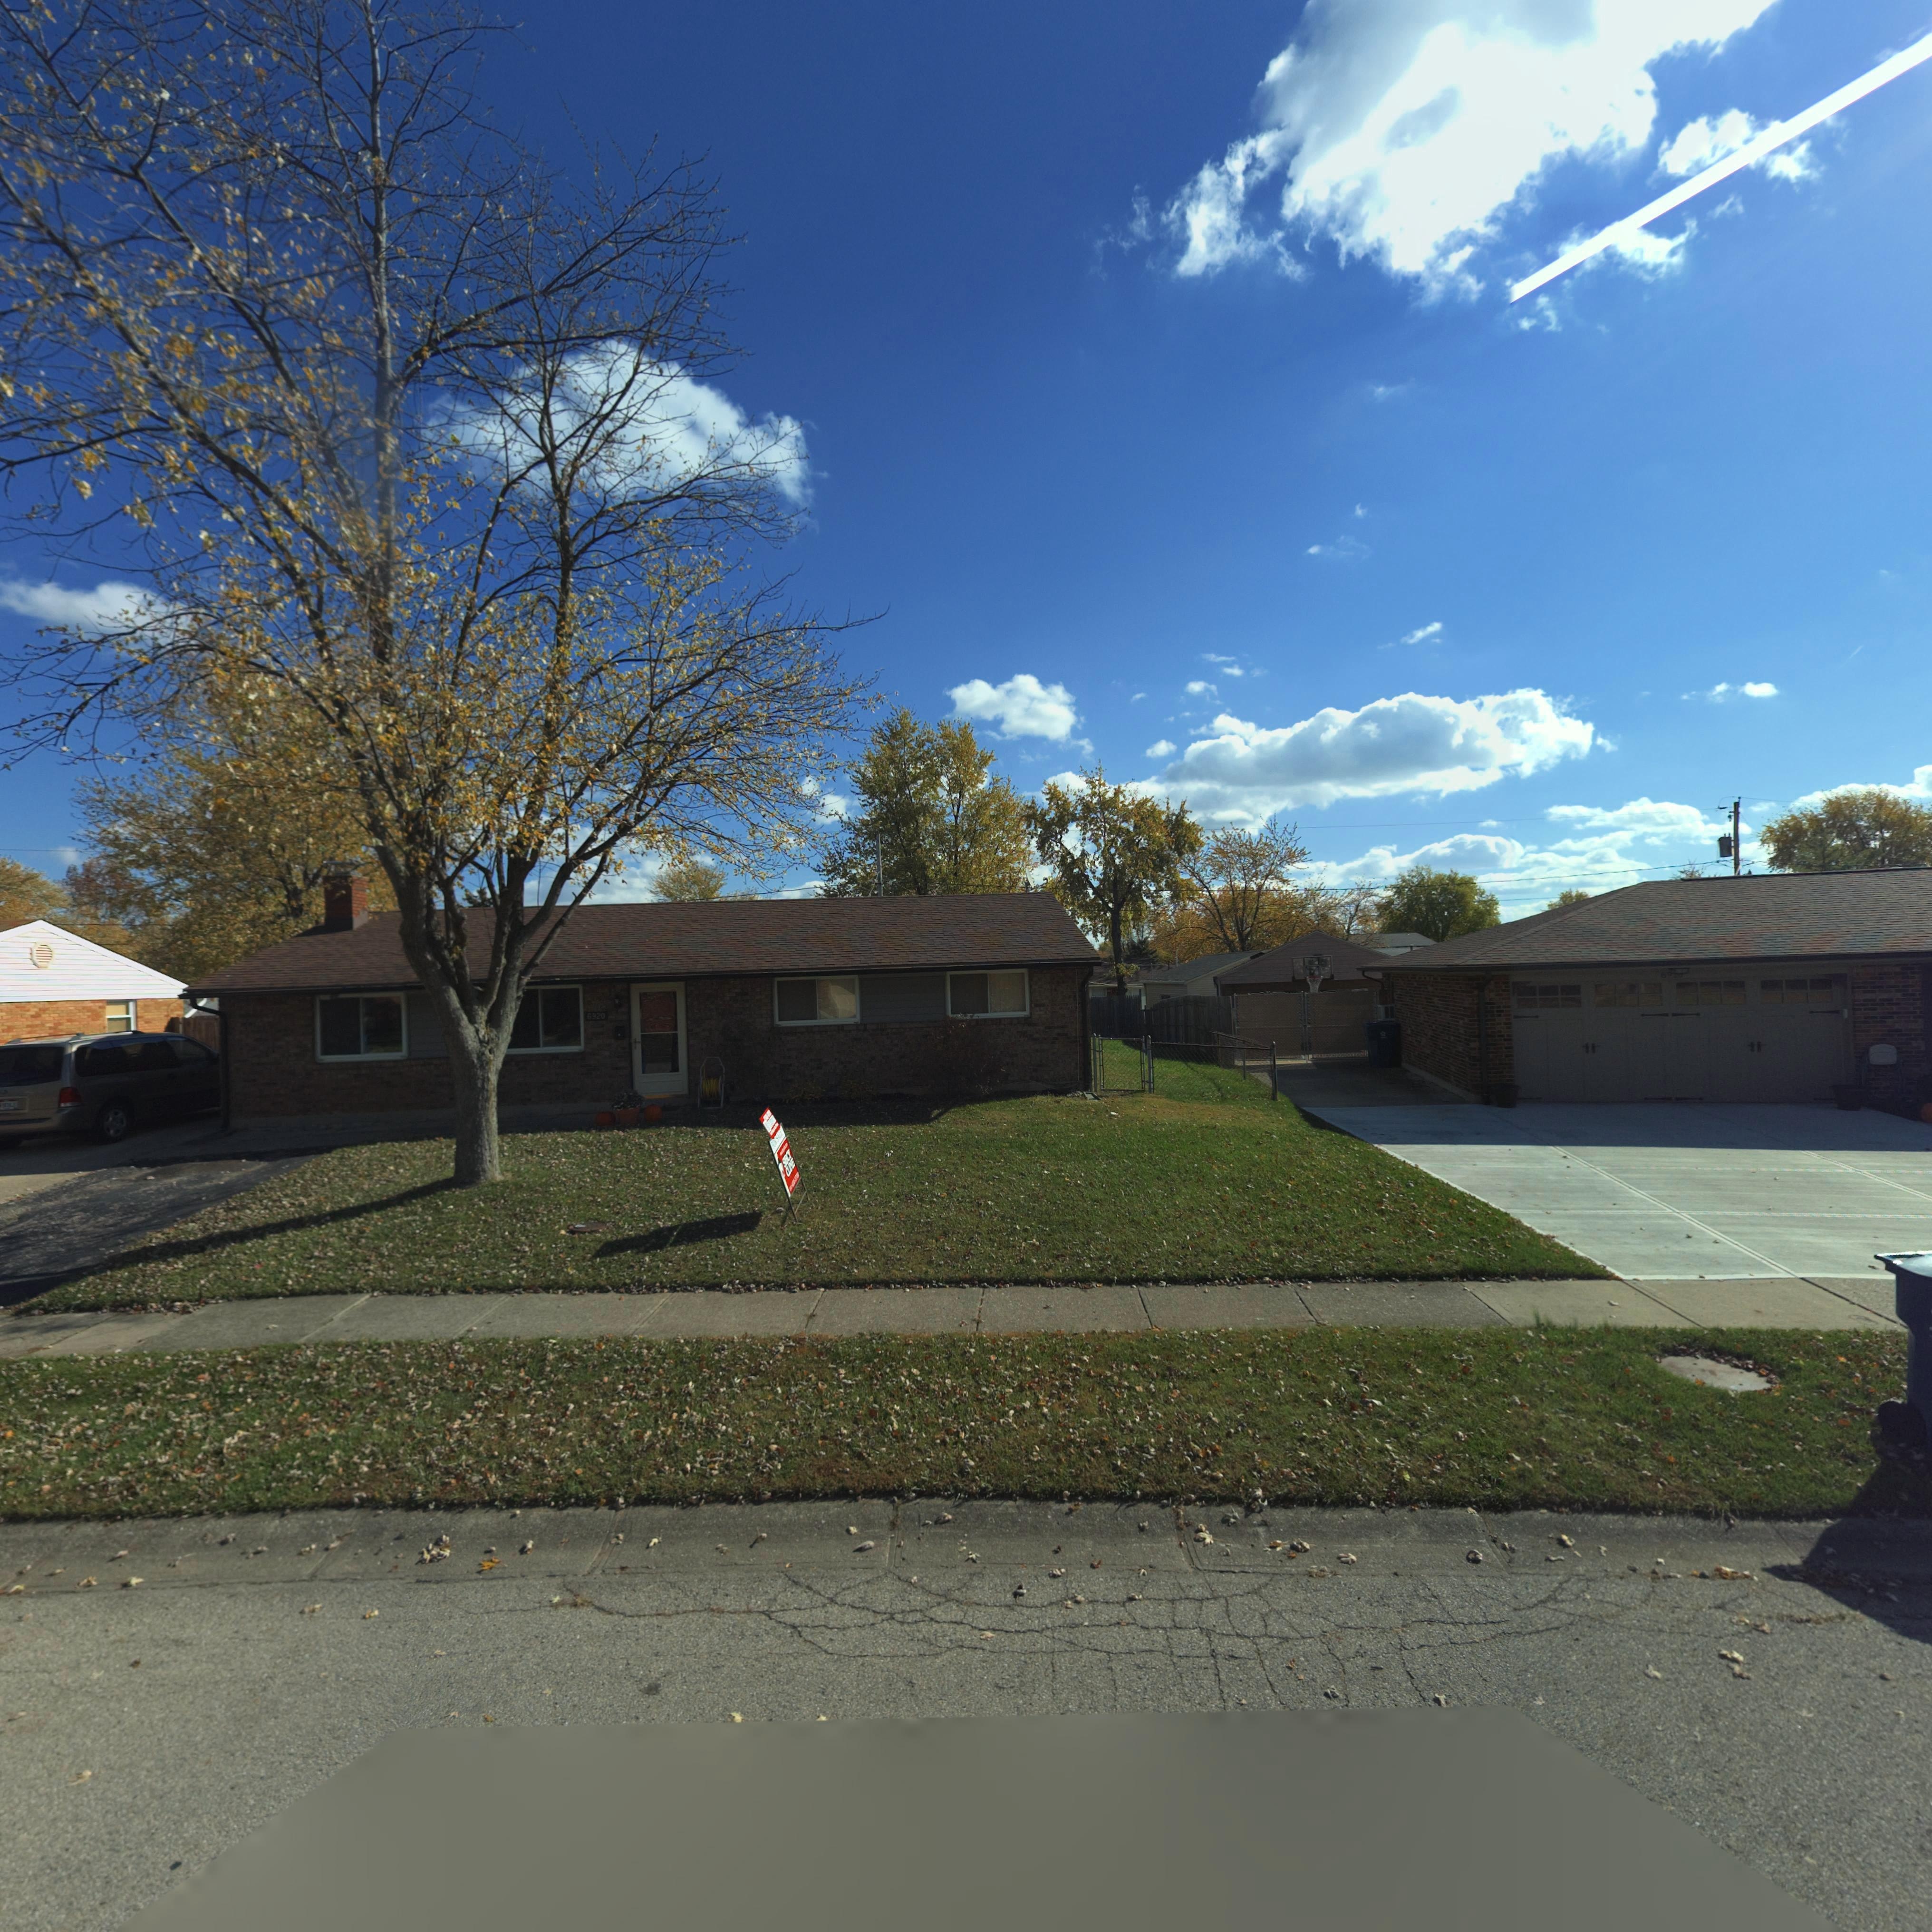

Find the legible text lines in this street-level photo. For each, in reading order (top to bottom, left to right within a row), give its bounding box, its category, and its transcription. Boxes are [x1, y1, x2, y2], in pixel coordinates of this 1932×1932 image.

[1660, 970, 1673, 980] StreetNumber: 69
[586, 1012, 606, 1021] StreetNumber: 6920